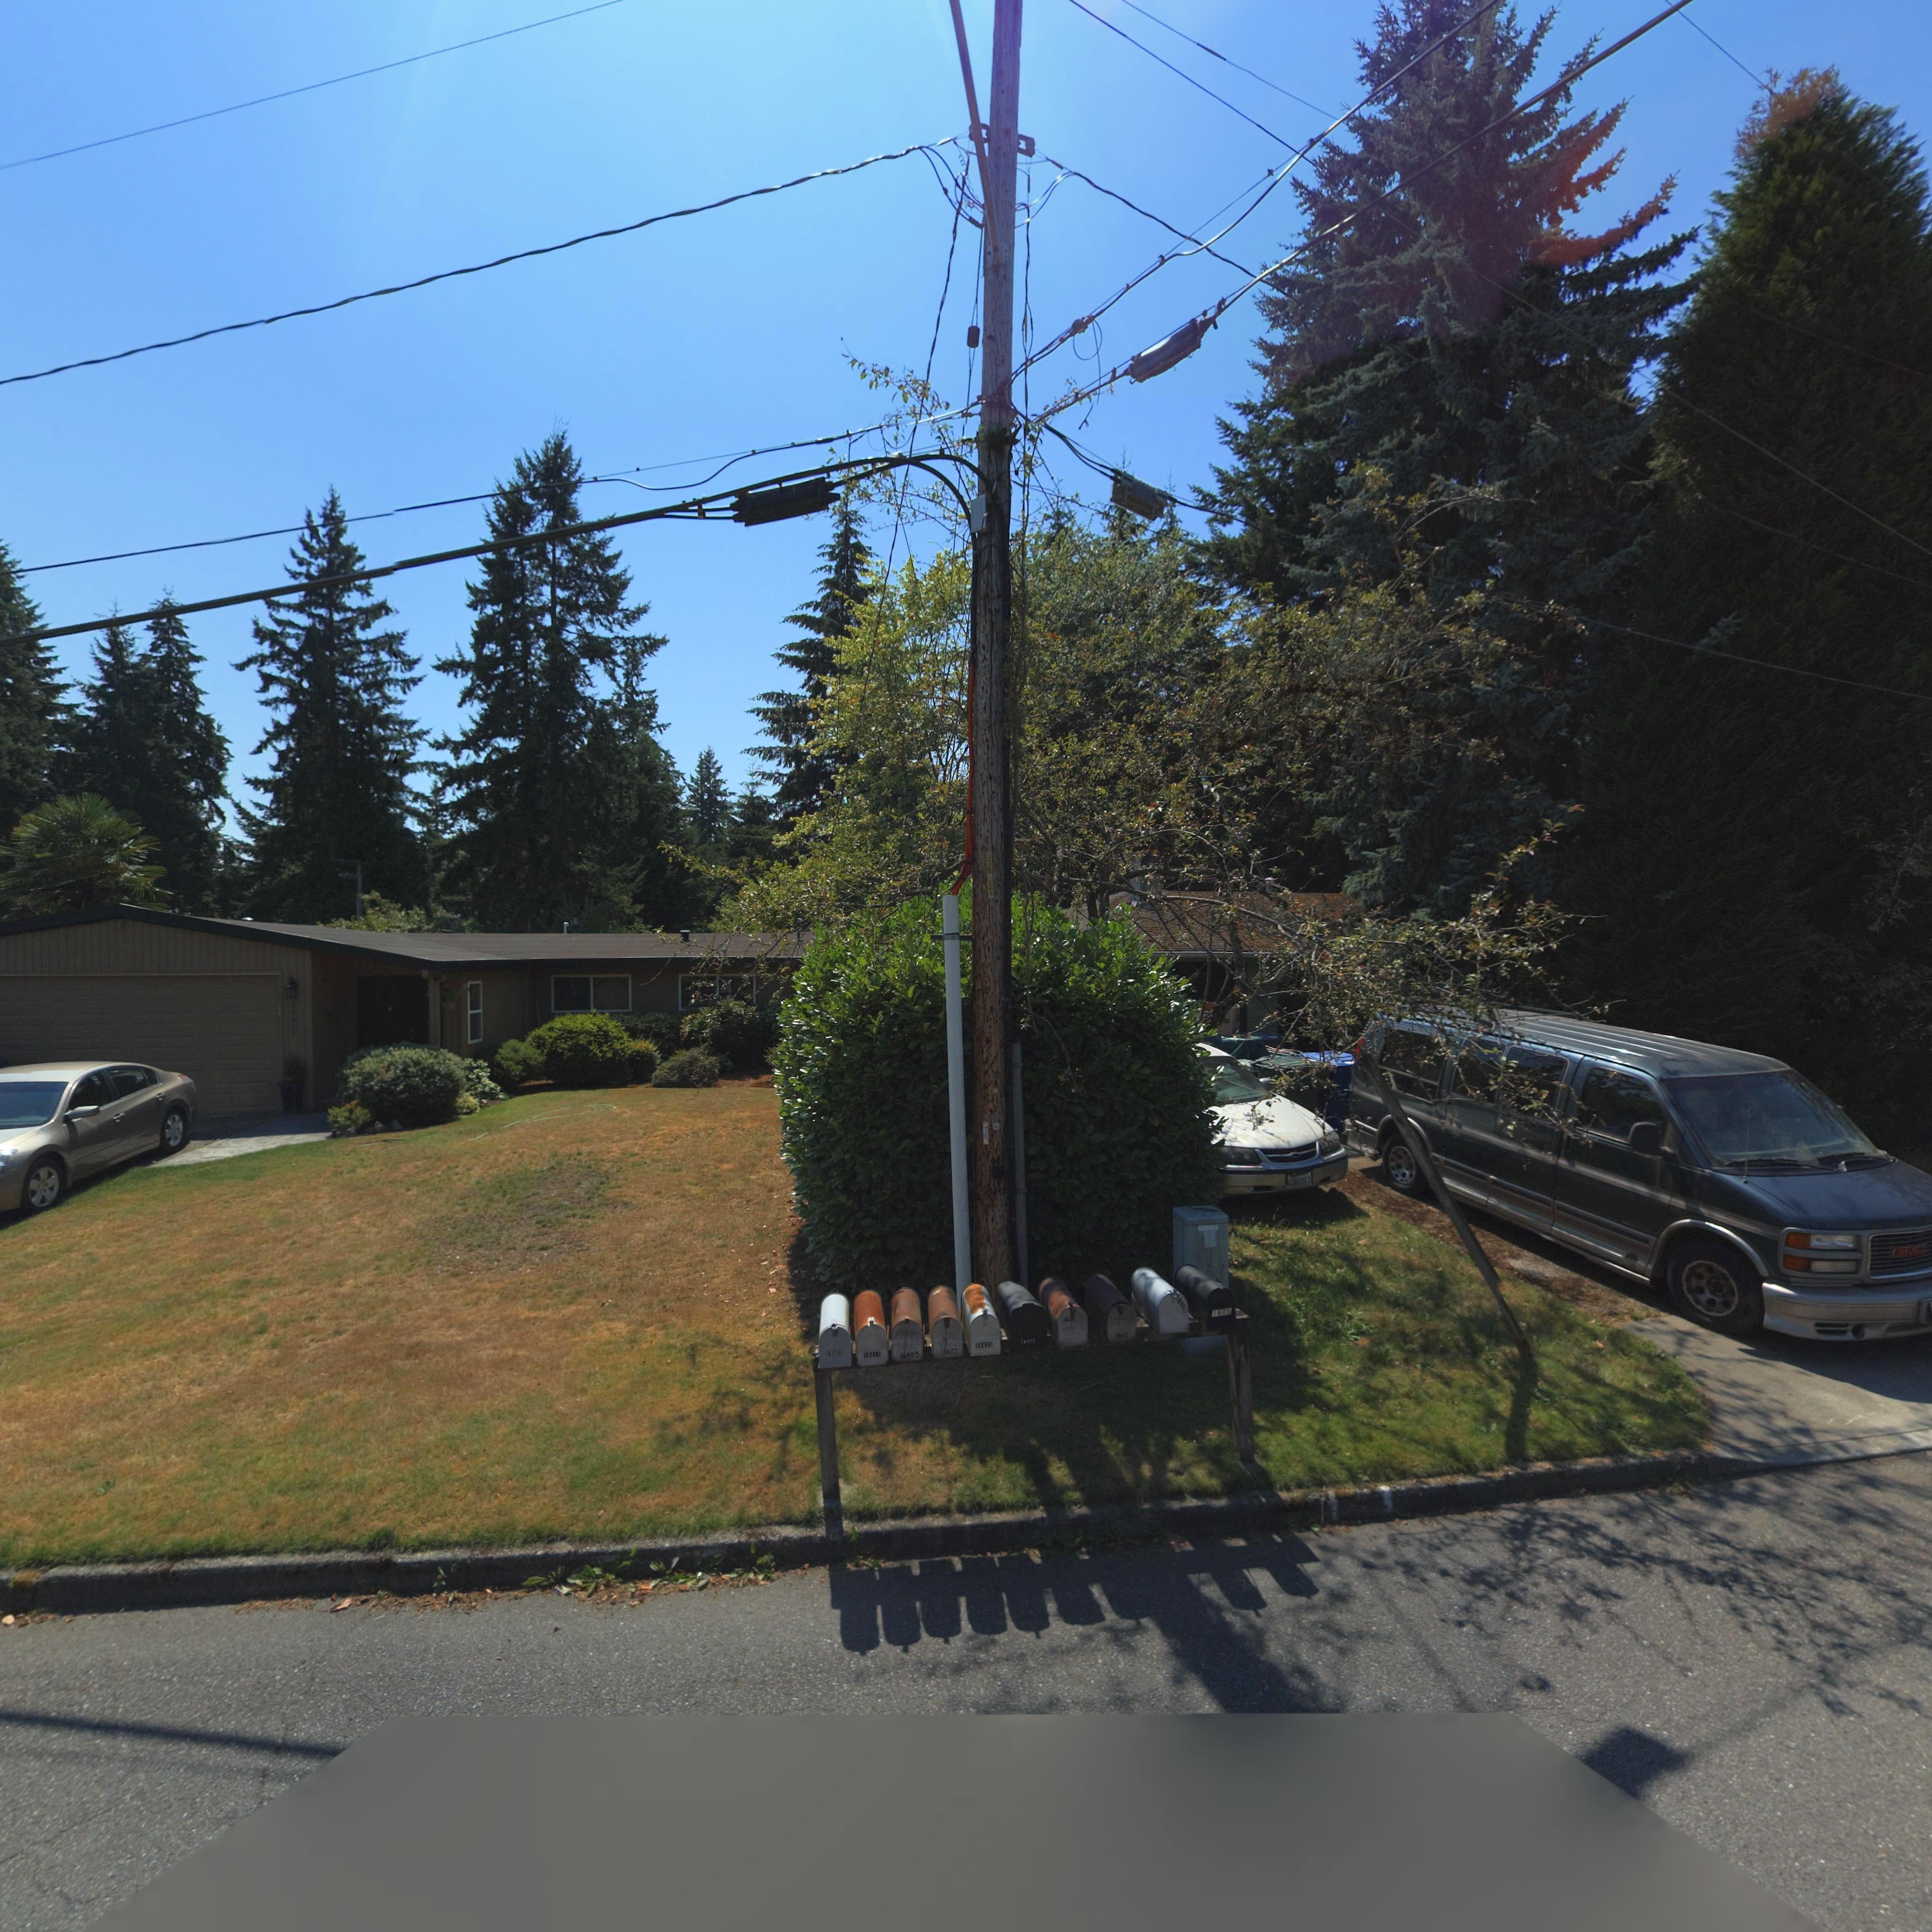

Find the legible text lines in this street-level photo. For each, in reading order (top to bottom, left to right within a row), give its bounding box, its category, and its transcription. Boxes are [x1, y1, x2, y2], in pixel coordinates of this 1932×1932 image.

[1212, 1308, 1231, 1316] StreetNumber: 1605